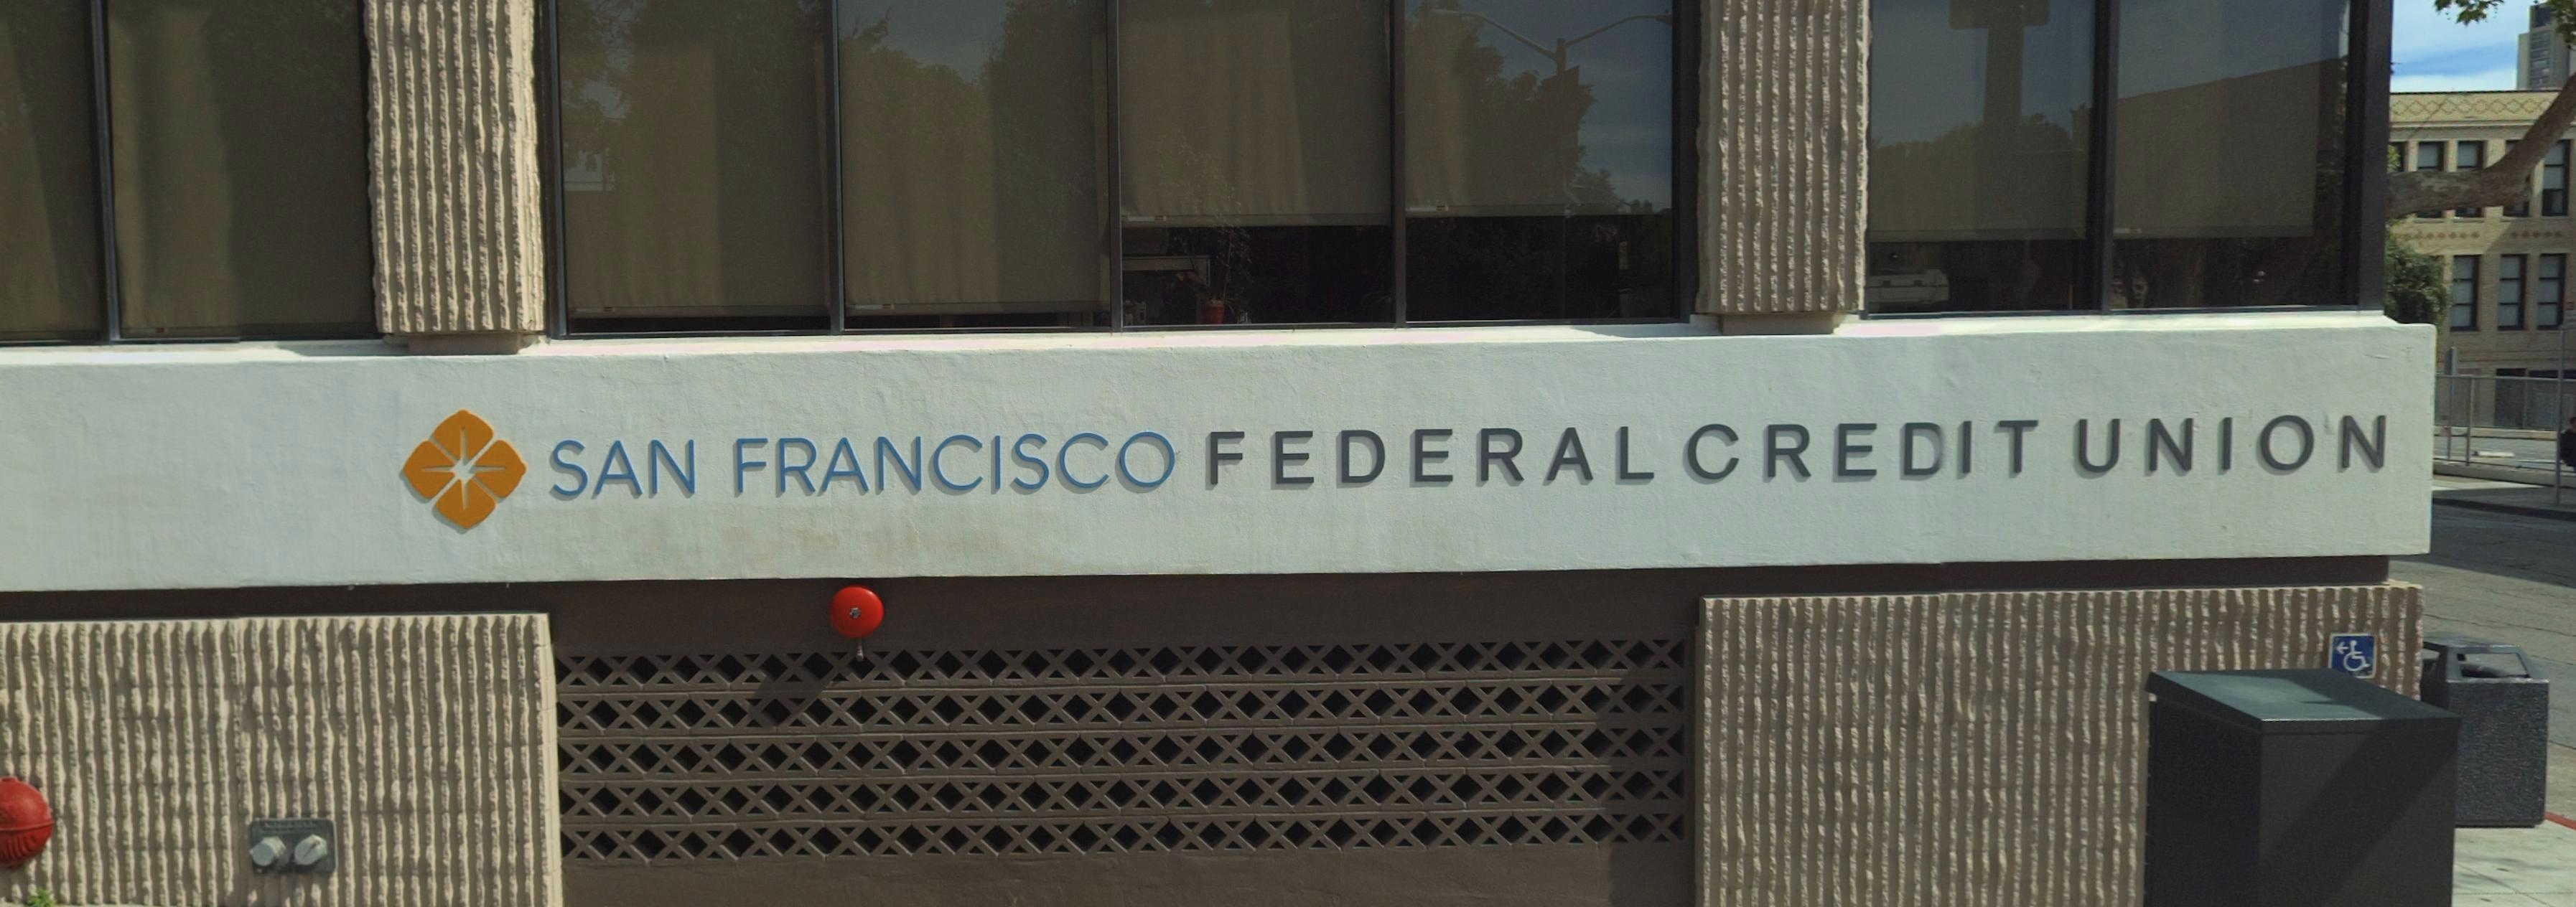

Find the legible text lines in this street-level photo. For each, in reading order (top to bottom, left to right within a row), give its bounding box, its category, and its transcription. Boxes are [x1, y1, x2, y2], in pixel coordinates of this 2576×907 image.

[545, 410, 2390, 506] BusinessName: SAN FRANCISCO FEDERAL CREDIT UNION